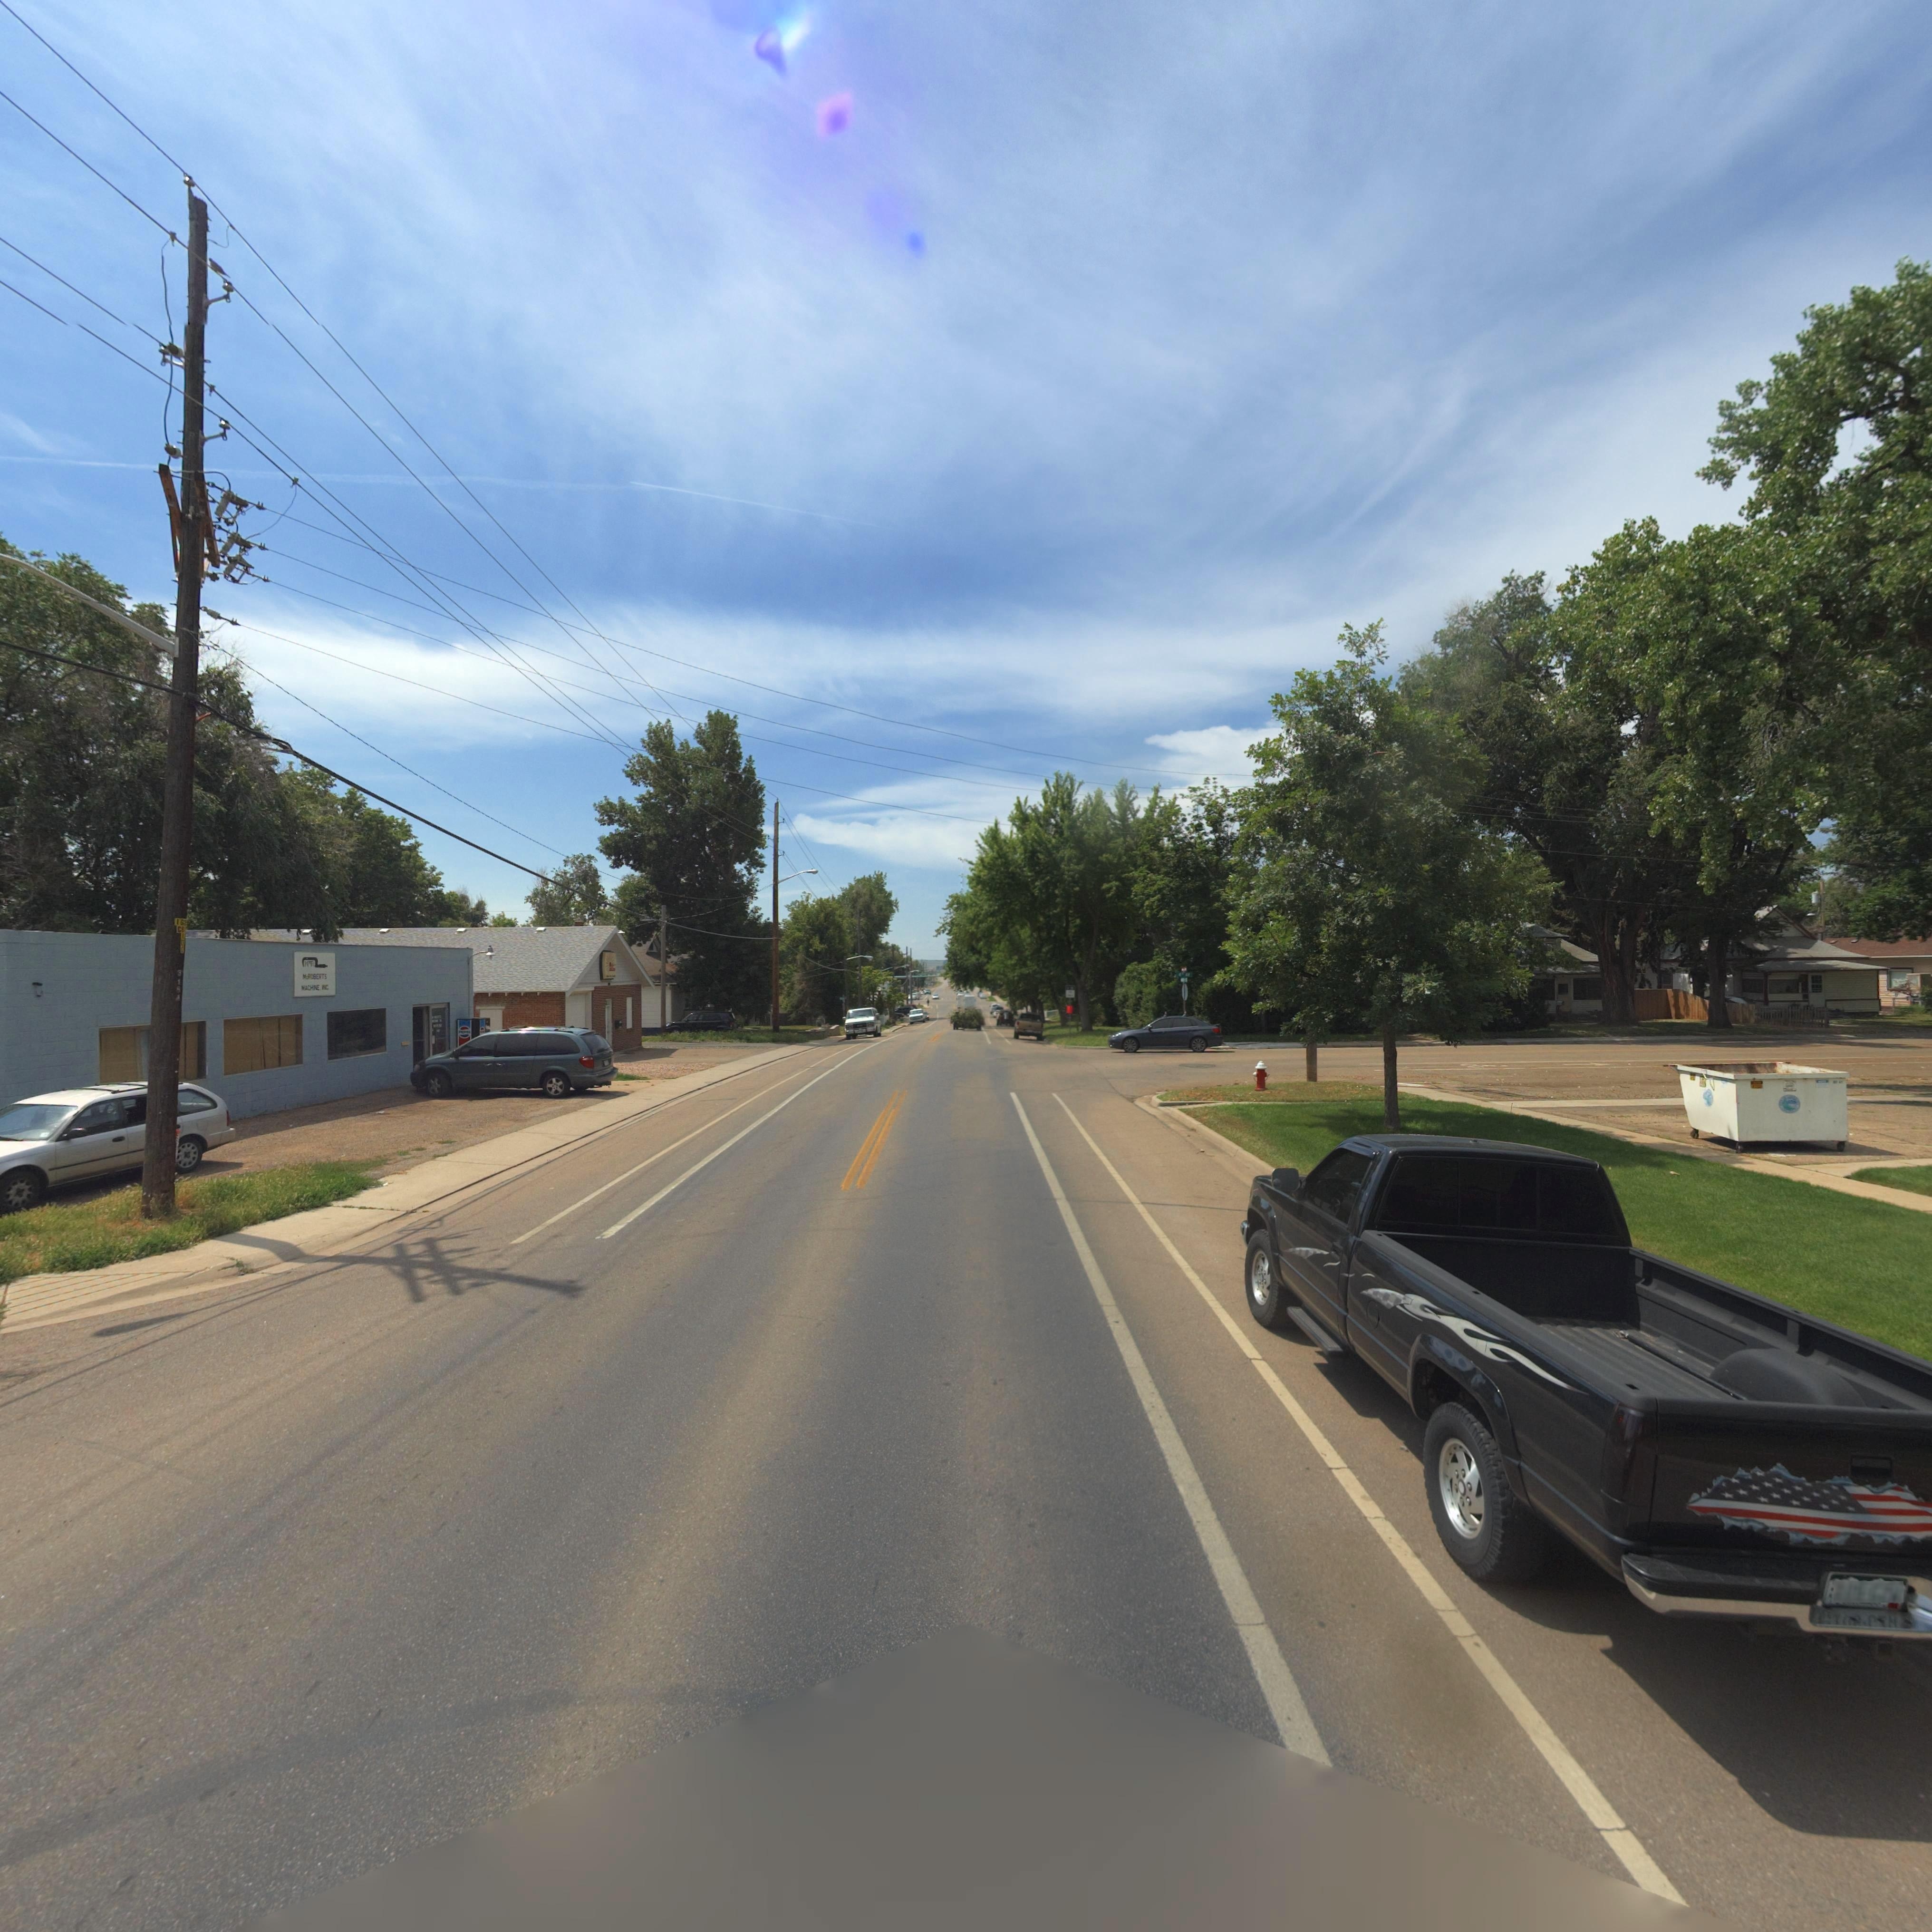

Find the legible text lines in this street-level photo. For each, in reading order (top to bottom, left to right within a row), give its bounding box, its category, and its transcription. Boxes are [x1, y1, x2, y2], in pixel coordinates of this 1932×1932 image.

[302, 973, 328, 980] BusinessName: *****ERTS
[300, 984, 329, 991] BusinessName: **CH*NE **C